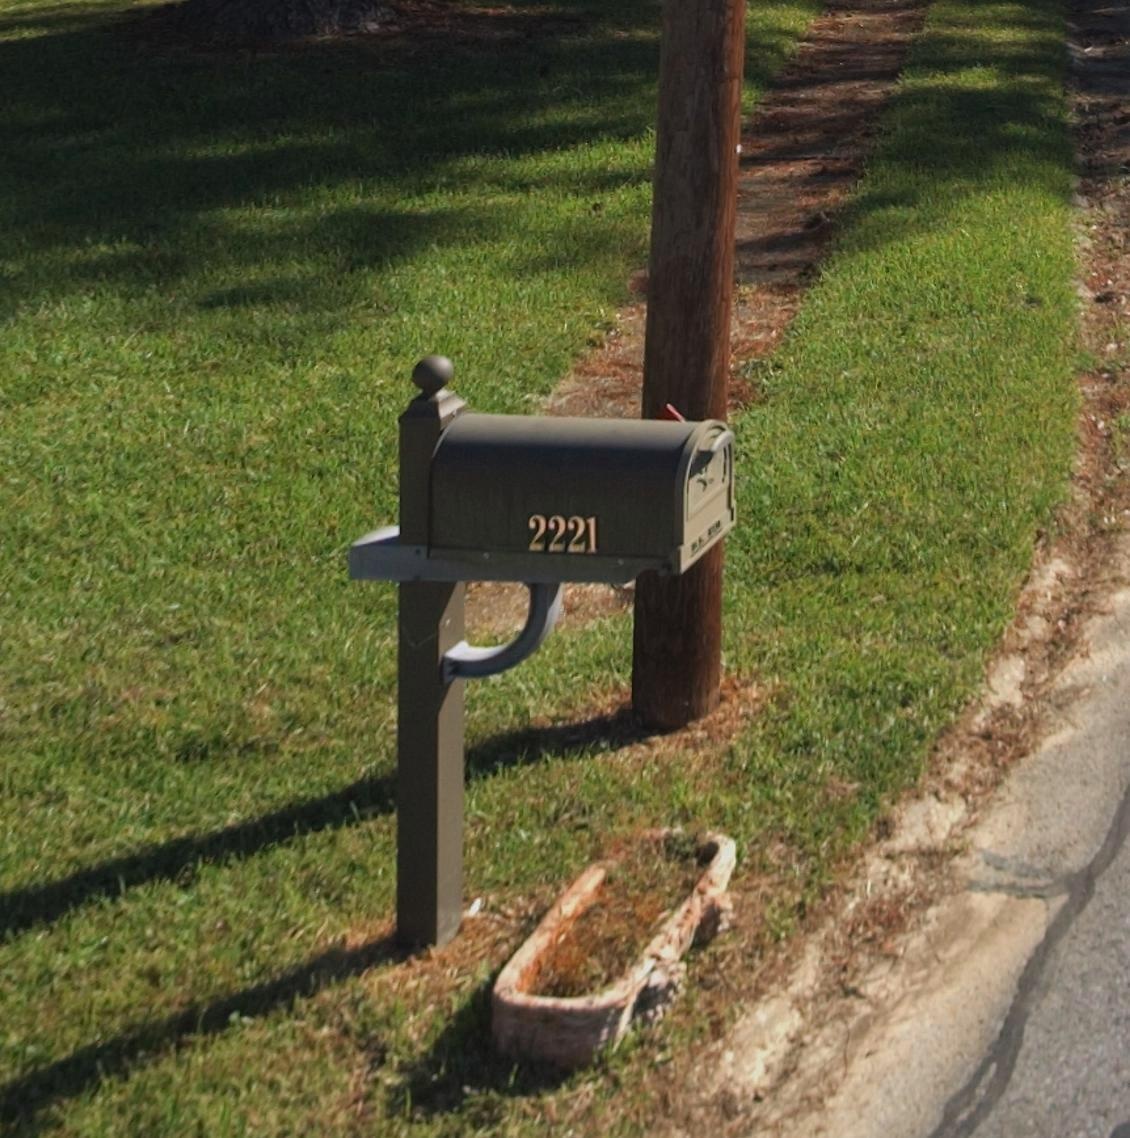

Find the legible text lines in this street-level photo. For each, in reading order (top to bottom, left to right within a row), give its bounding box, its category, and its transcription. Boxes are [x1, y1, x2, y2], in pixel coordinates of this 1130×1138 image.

[527, 513, 599, 555] StreetNumber: 2221